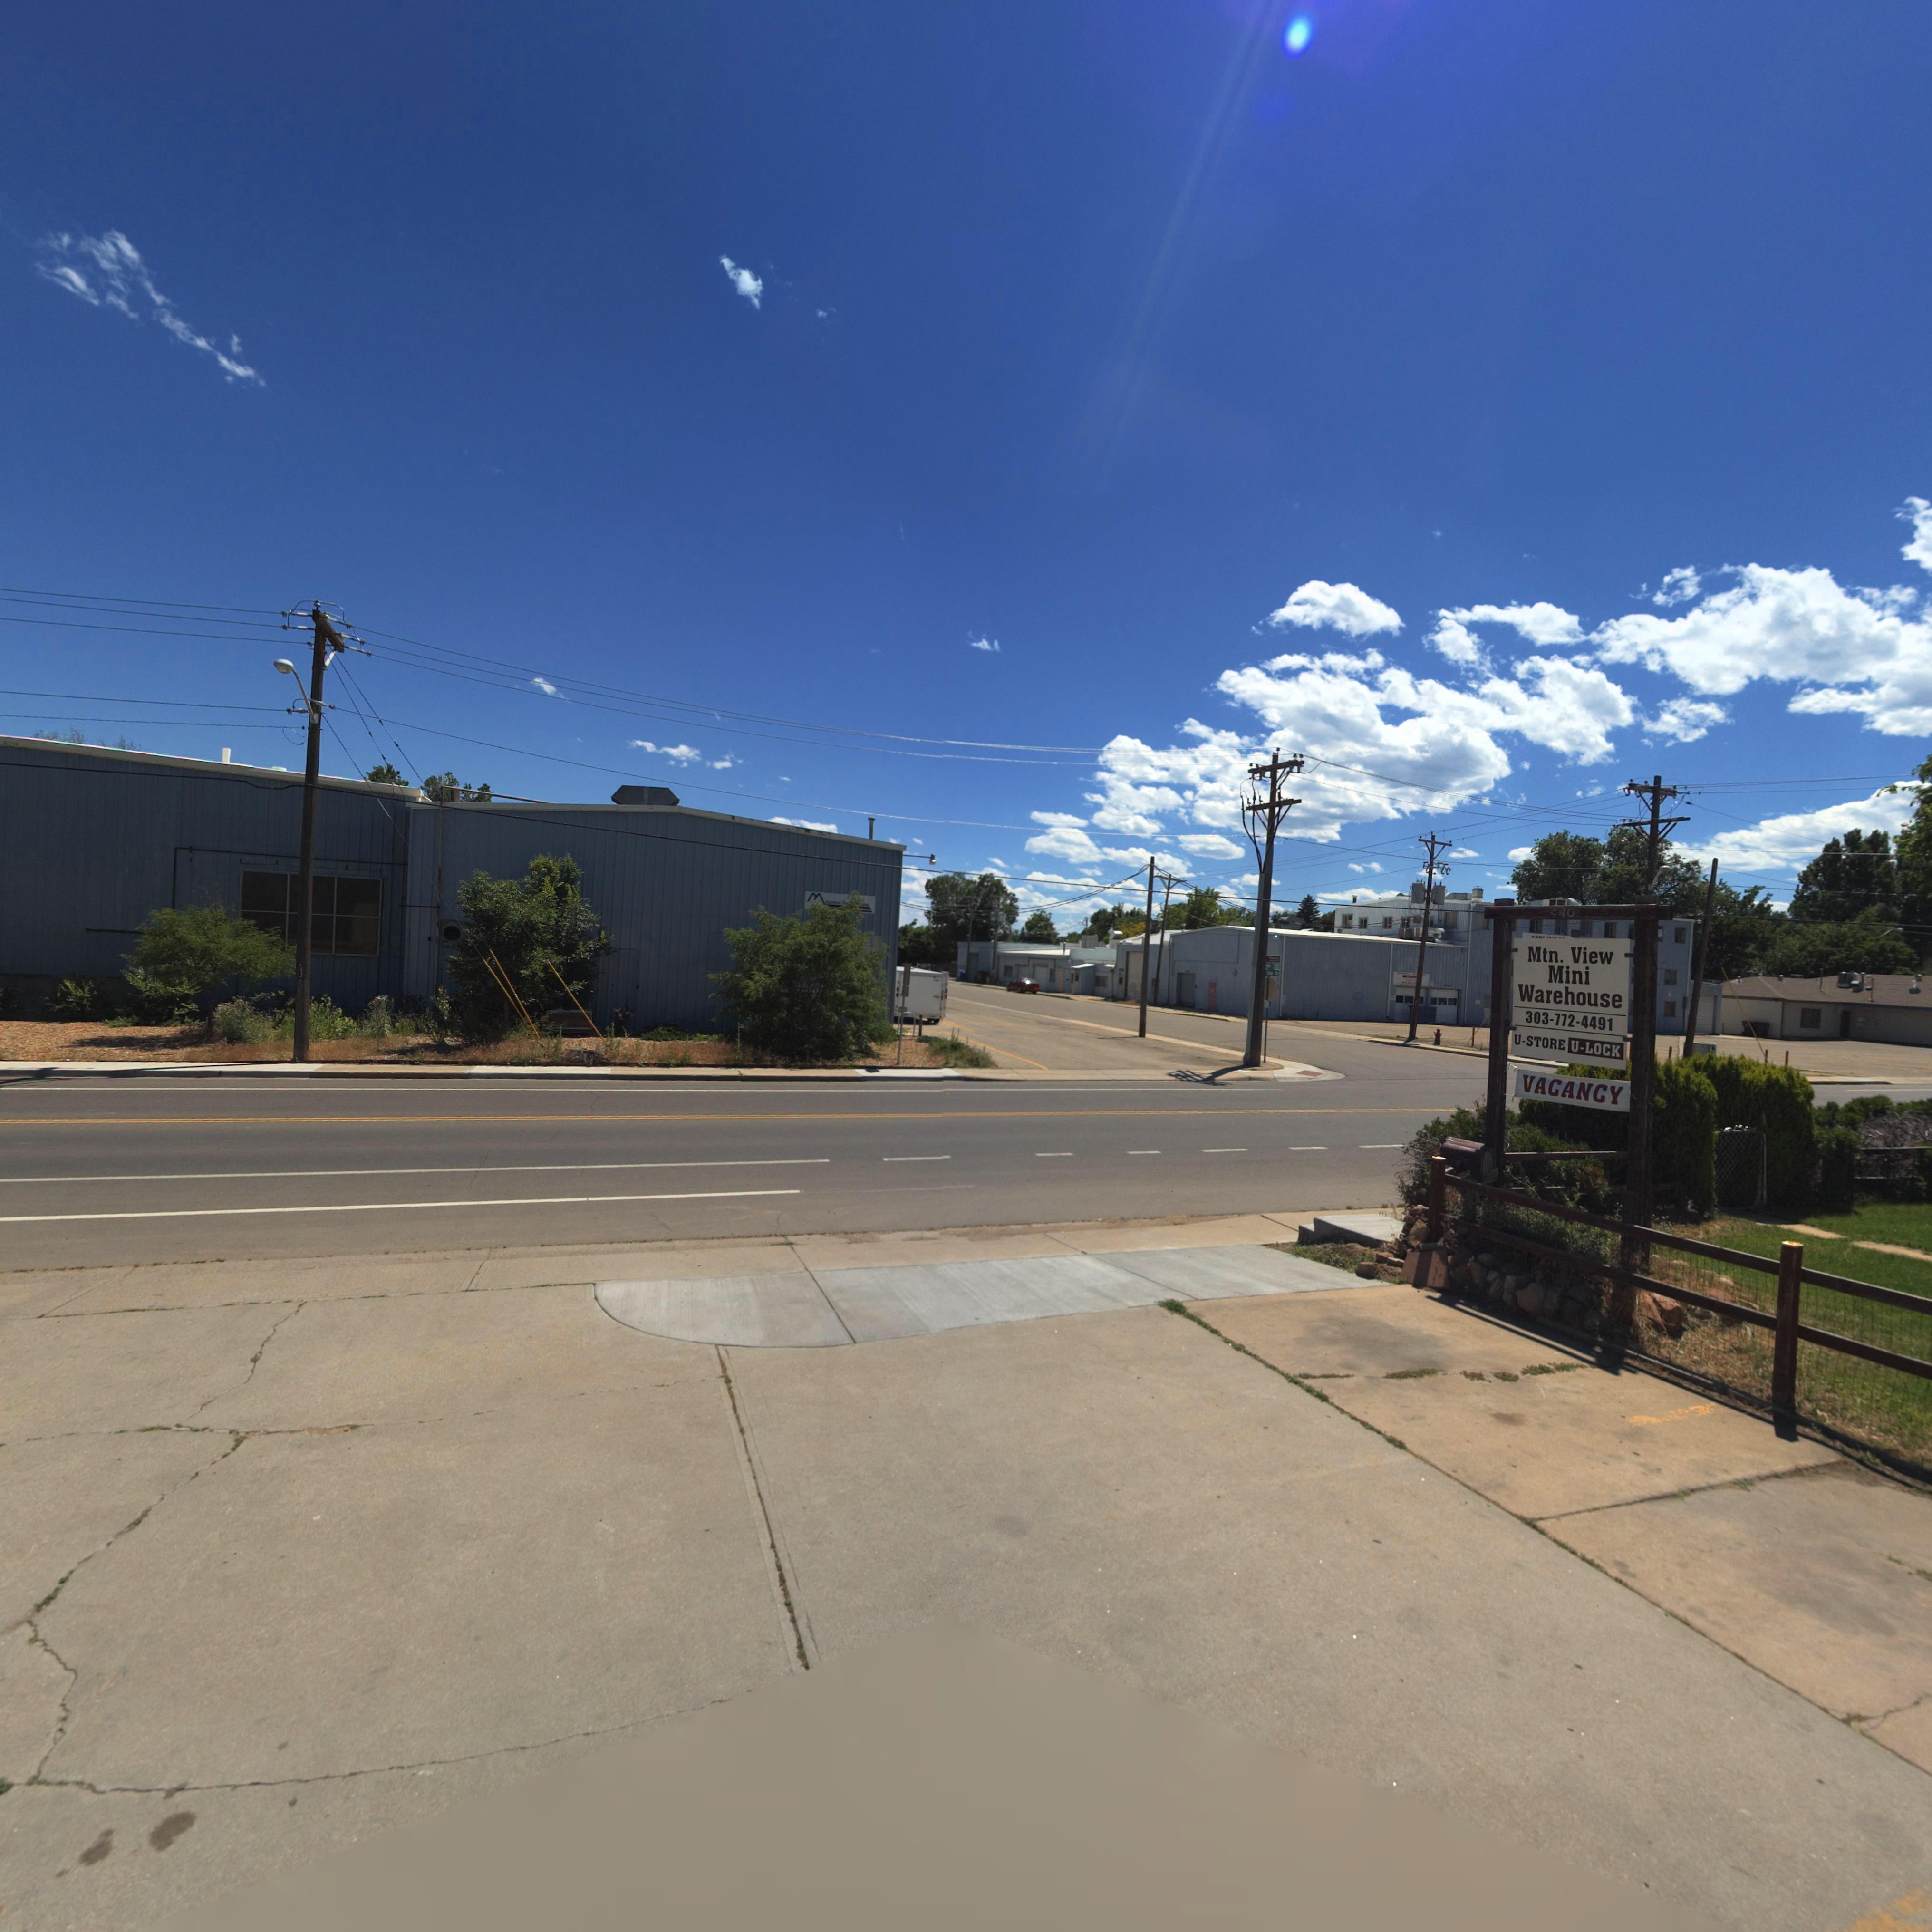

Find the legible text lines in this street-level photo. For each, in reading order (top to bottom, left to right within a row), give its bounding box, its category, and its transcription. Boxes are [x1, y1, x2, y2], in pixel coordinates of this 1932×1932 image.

[1548, 907, 1575, 918] StreetNumber: 440
[1527, 946, 1614, 965] BusinessName: Mtn. View
[1547, 964, 1590, 985] BusinessName: Mini
[1517, 983, 1623, 1009] BusinessName: Warehouse